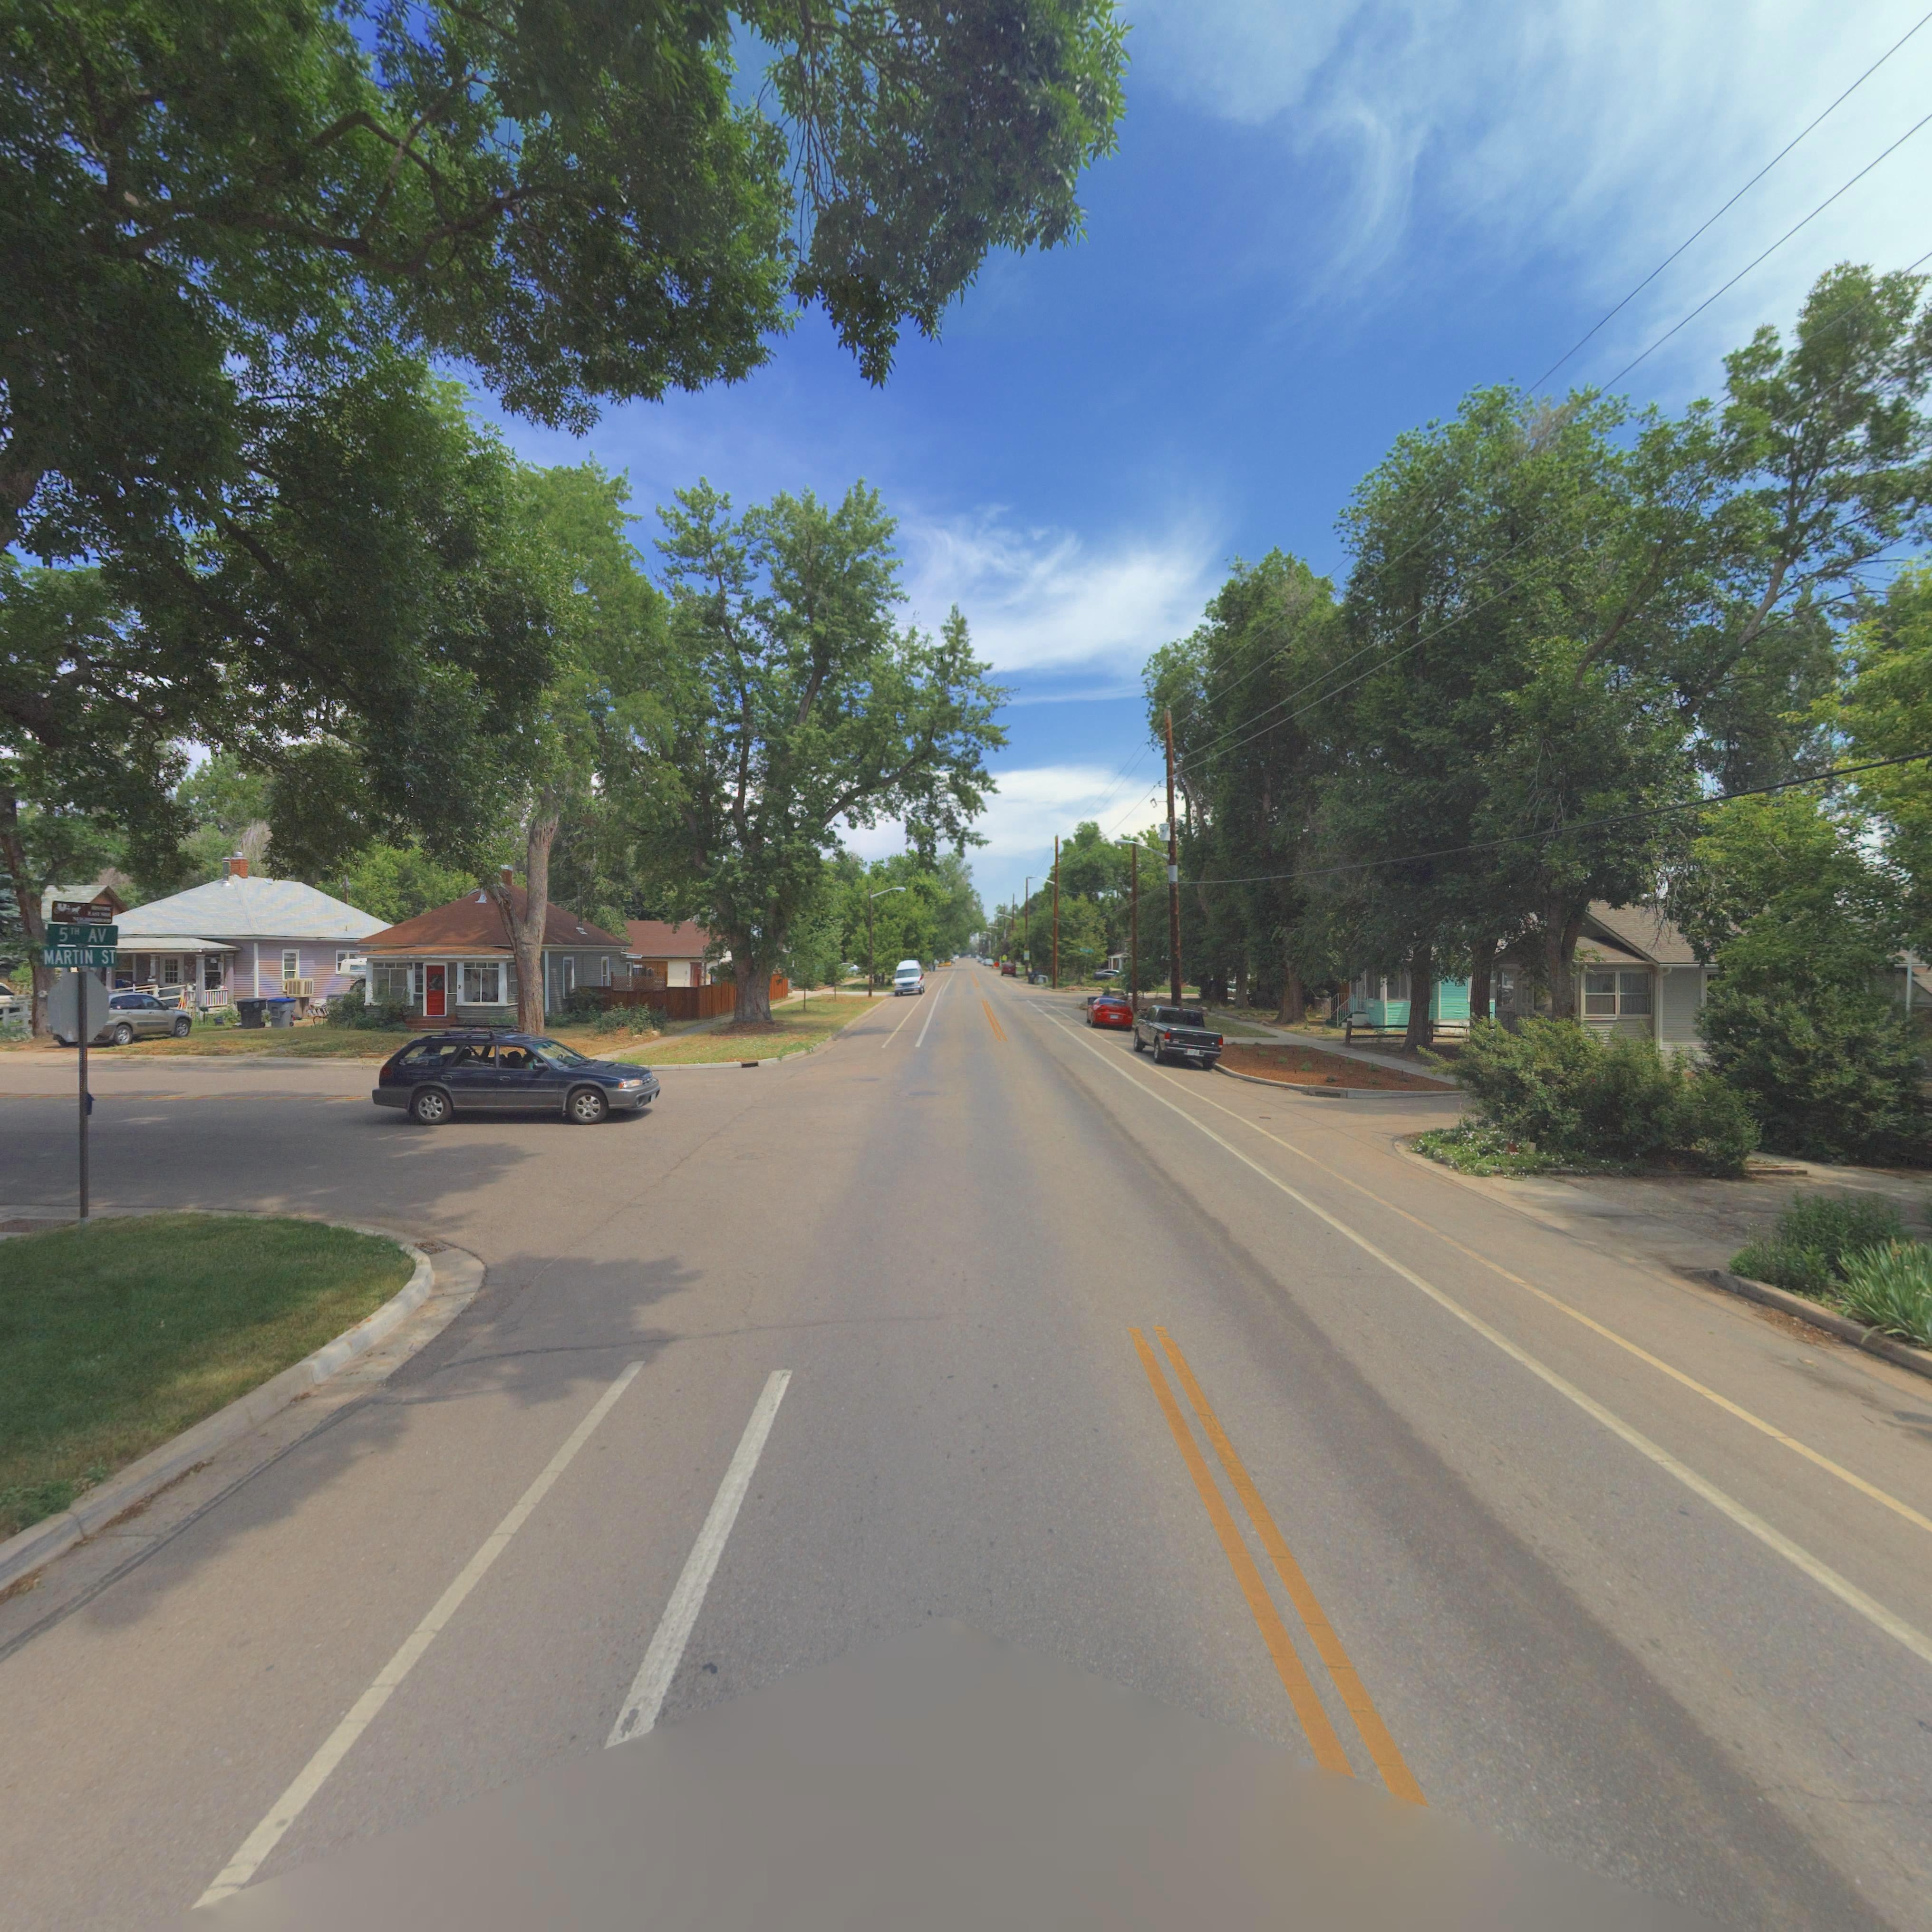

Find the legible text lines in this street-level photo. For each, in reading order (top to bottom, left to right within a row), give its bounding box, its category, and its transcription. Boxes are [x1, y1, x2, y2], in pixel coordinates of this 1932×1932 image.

[58, 927, 107, 943] StreetName: 5TH AV
[43, 949, 116, 965] StreetName: MARTIN ST
[458, 985, 461, 988] StreetNumber: 2